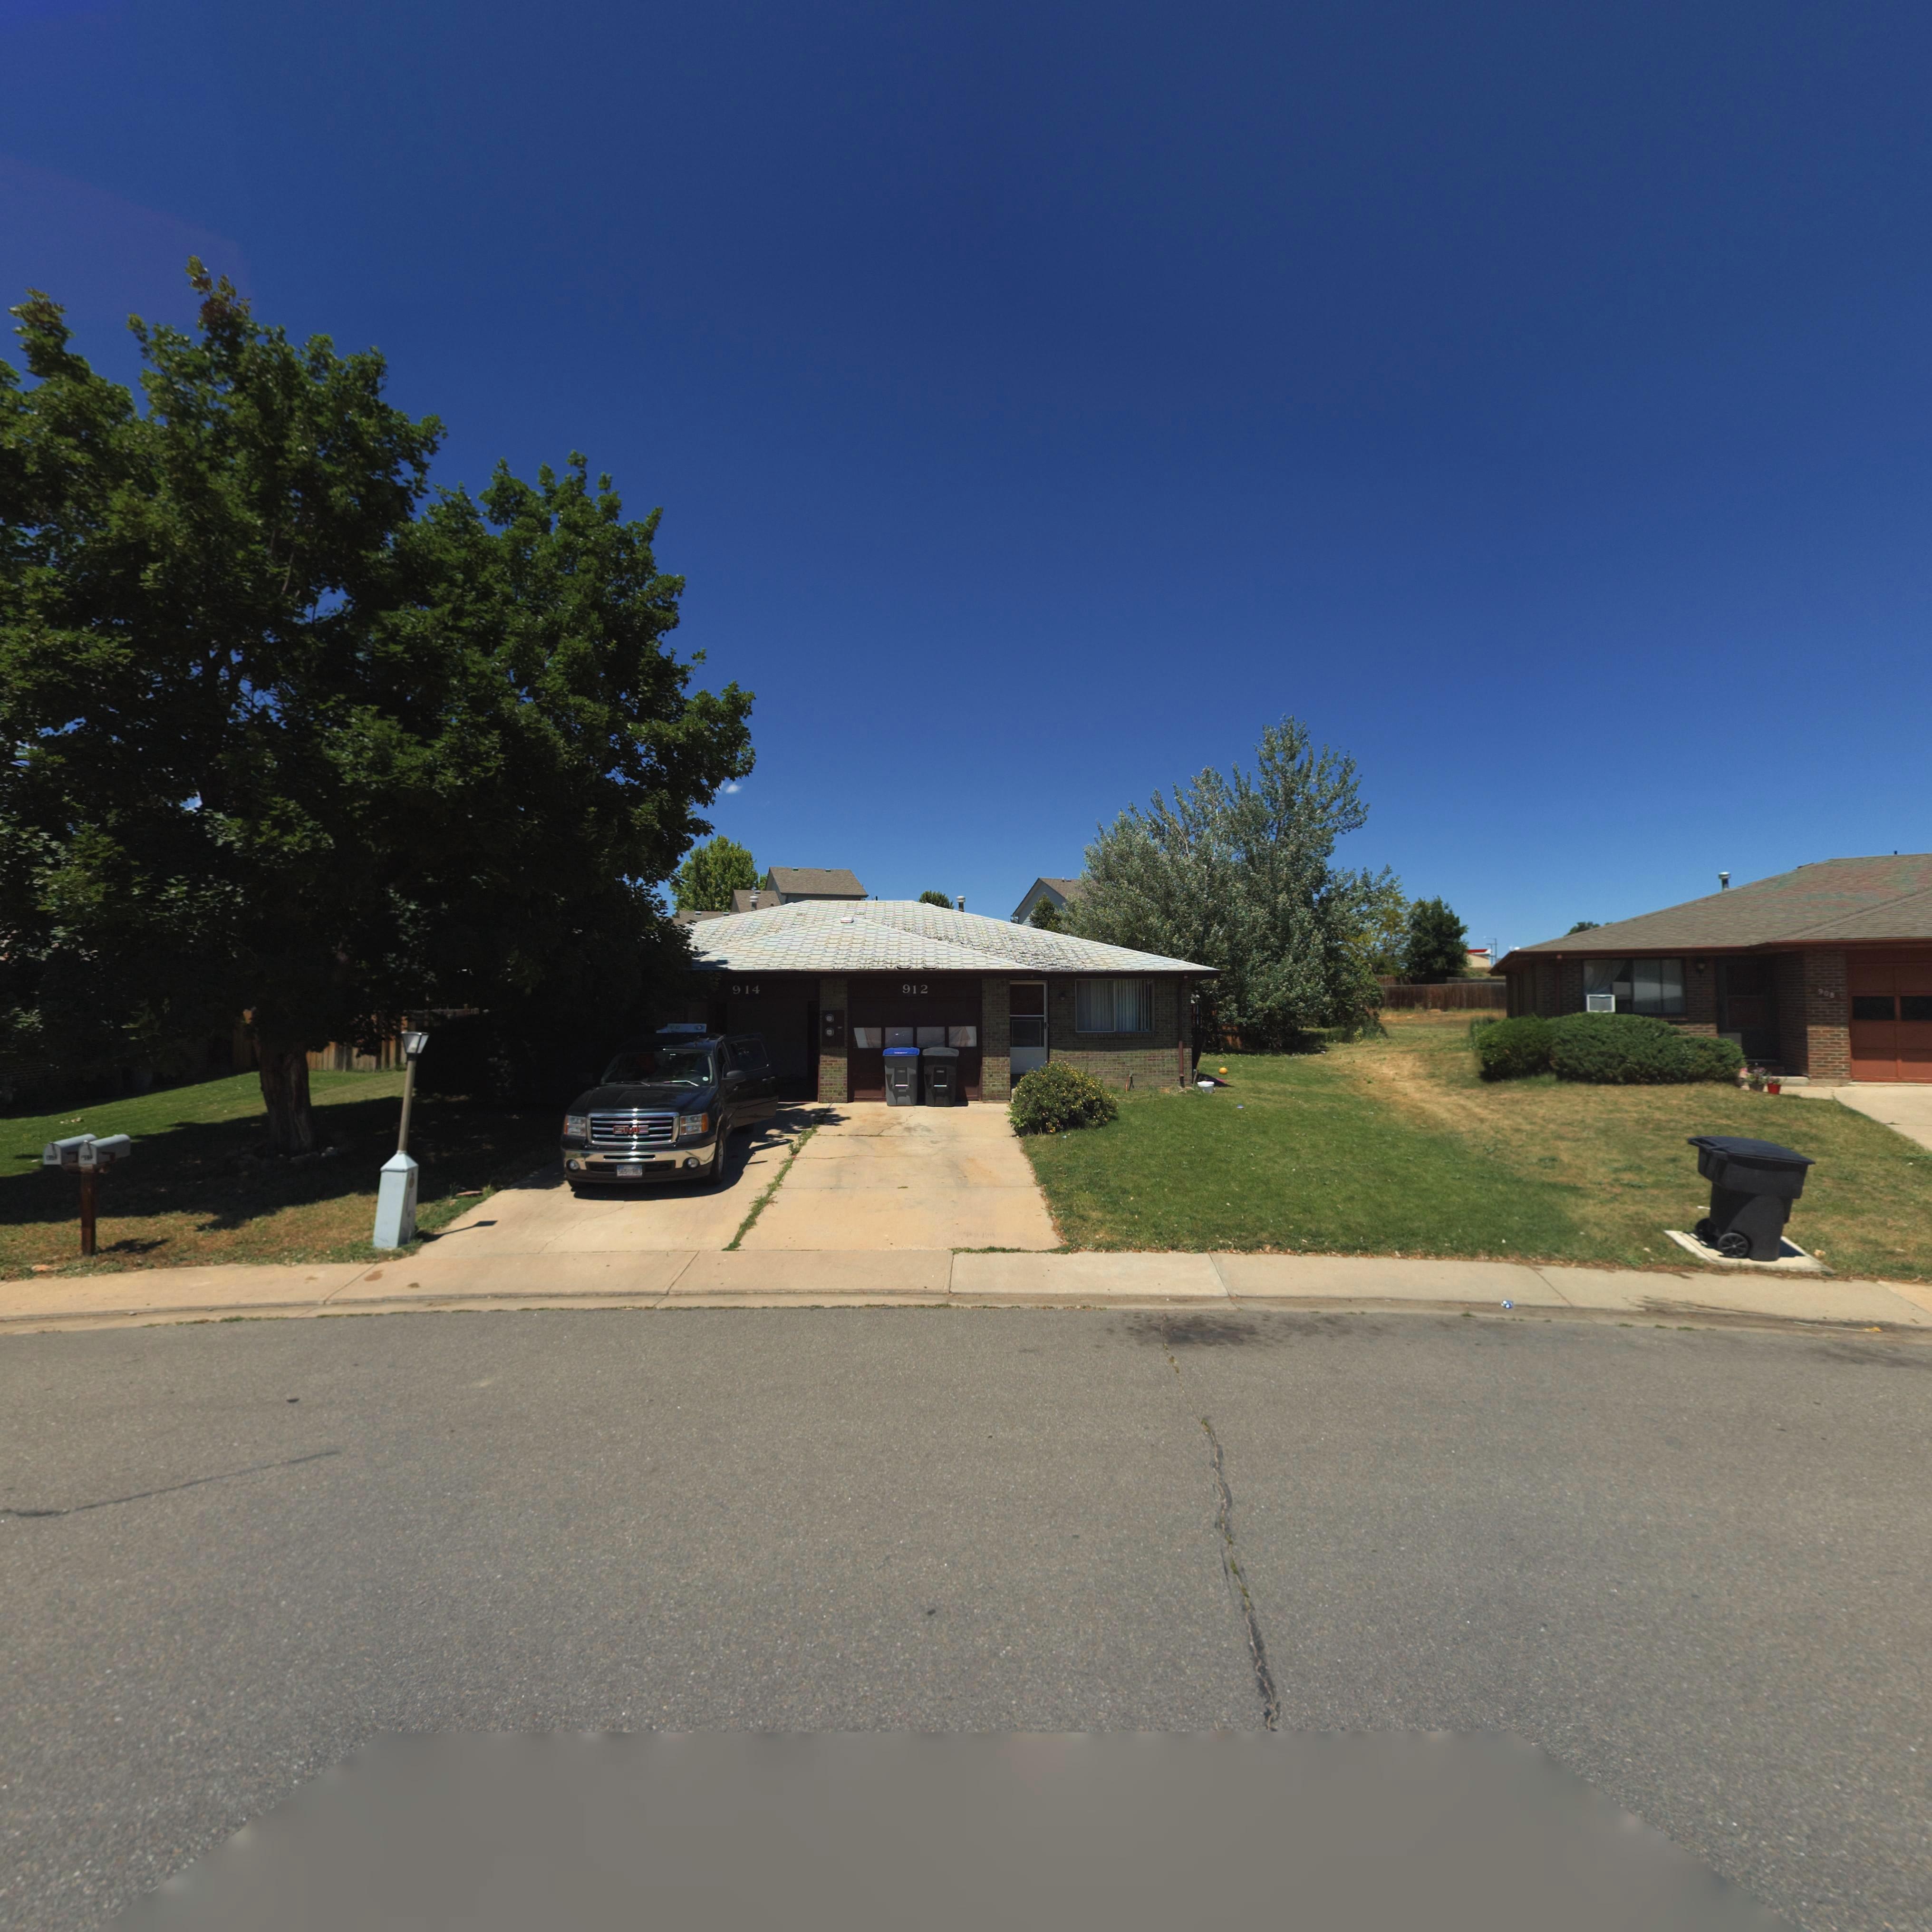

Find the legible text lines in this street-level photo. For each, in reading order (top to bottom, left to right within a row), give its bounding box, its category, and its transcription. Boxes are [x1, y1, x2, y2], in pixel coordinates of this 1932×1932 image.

[732, 985, 760, 994] StreetNumber: 914
[902, 984, 928, 994] StreetNumber: 912
[1817, 987, 1835, 998] StreetNumber: 908